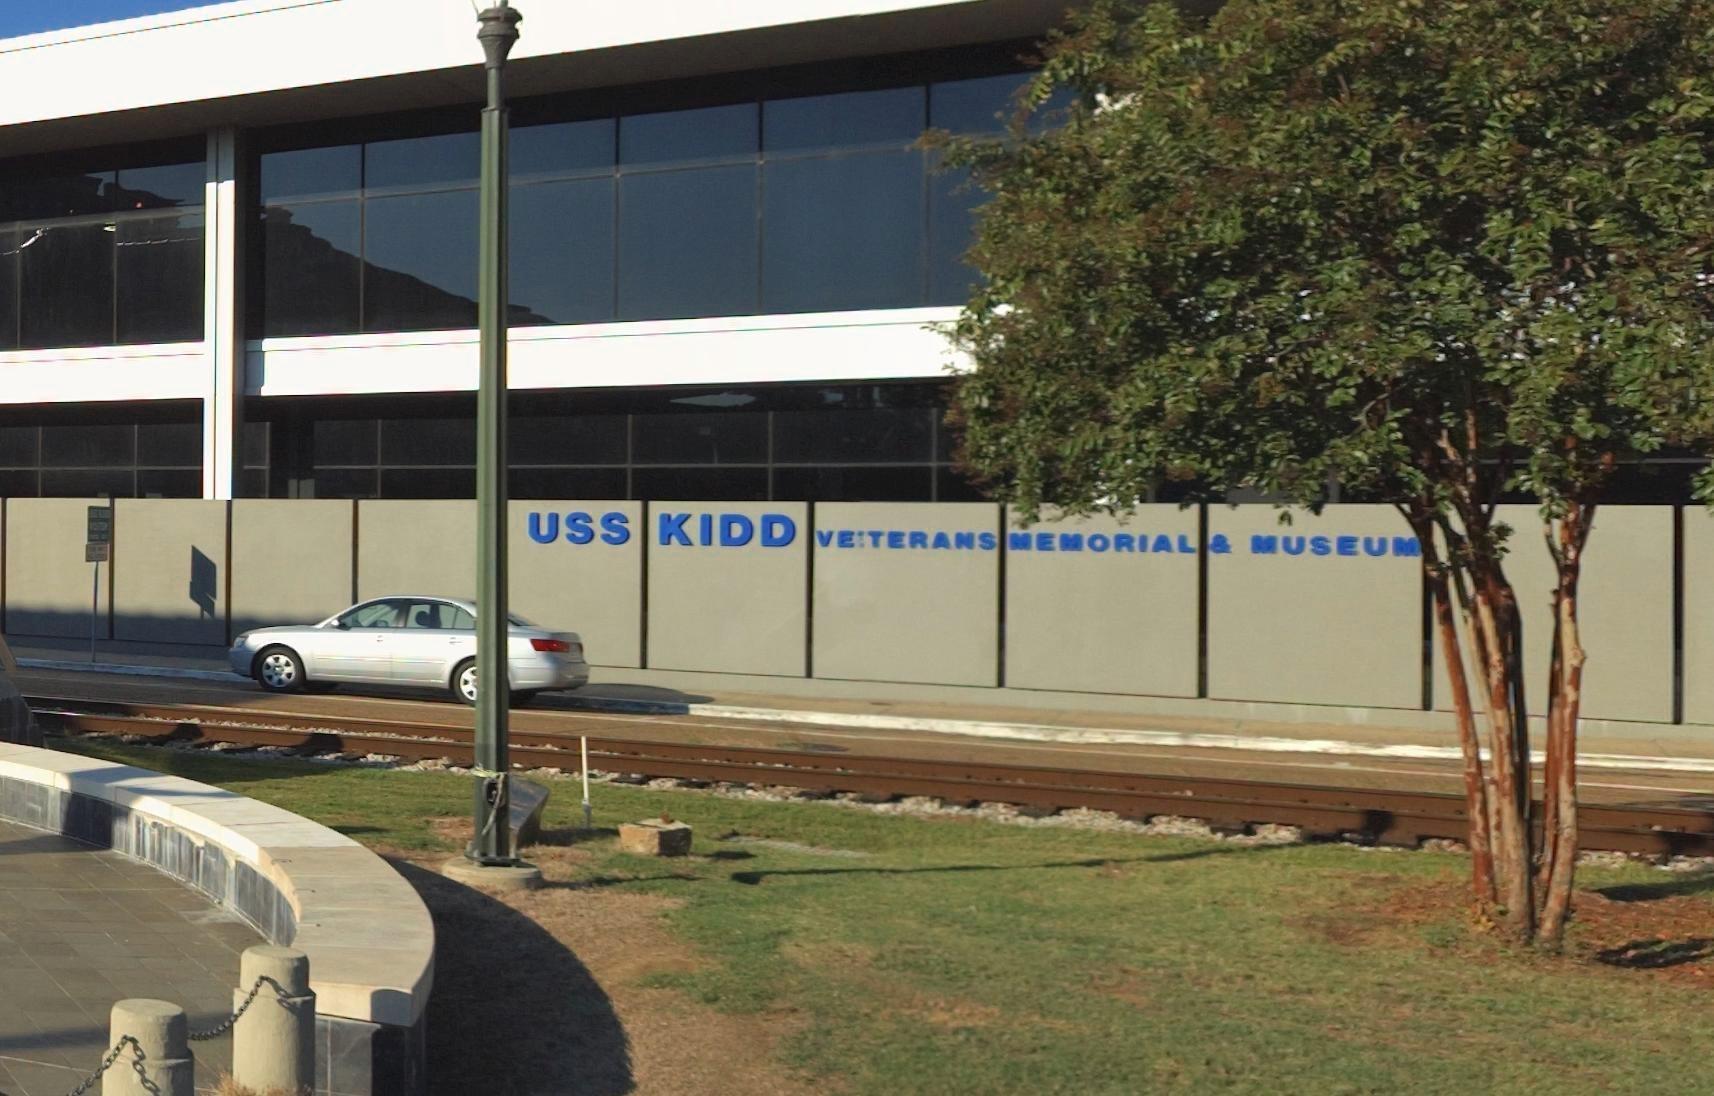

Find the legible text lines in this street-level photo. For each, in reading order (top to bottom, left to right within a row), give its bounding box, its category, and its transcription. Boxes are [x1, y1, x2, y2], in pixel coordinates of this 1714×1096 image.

[526, 506, 1424, 560] BusinessName: USS KIDD VE*TERANS*MEMORIAL*& MUSEUM